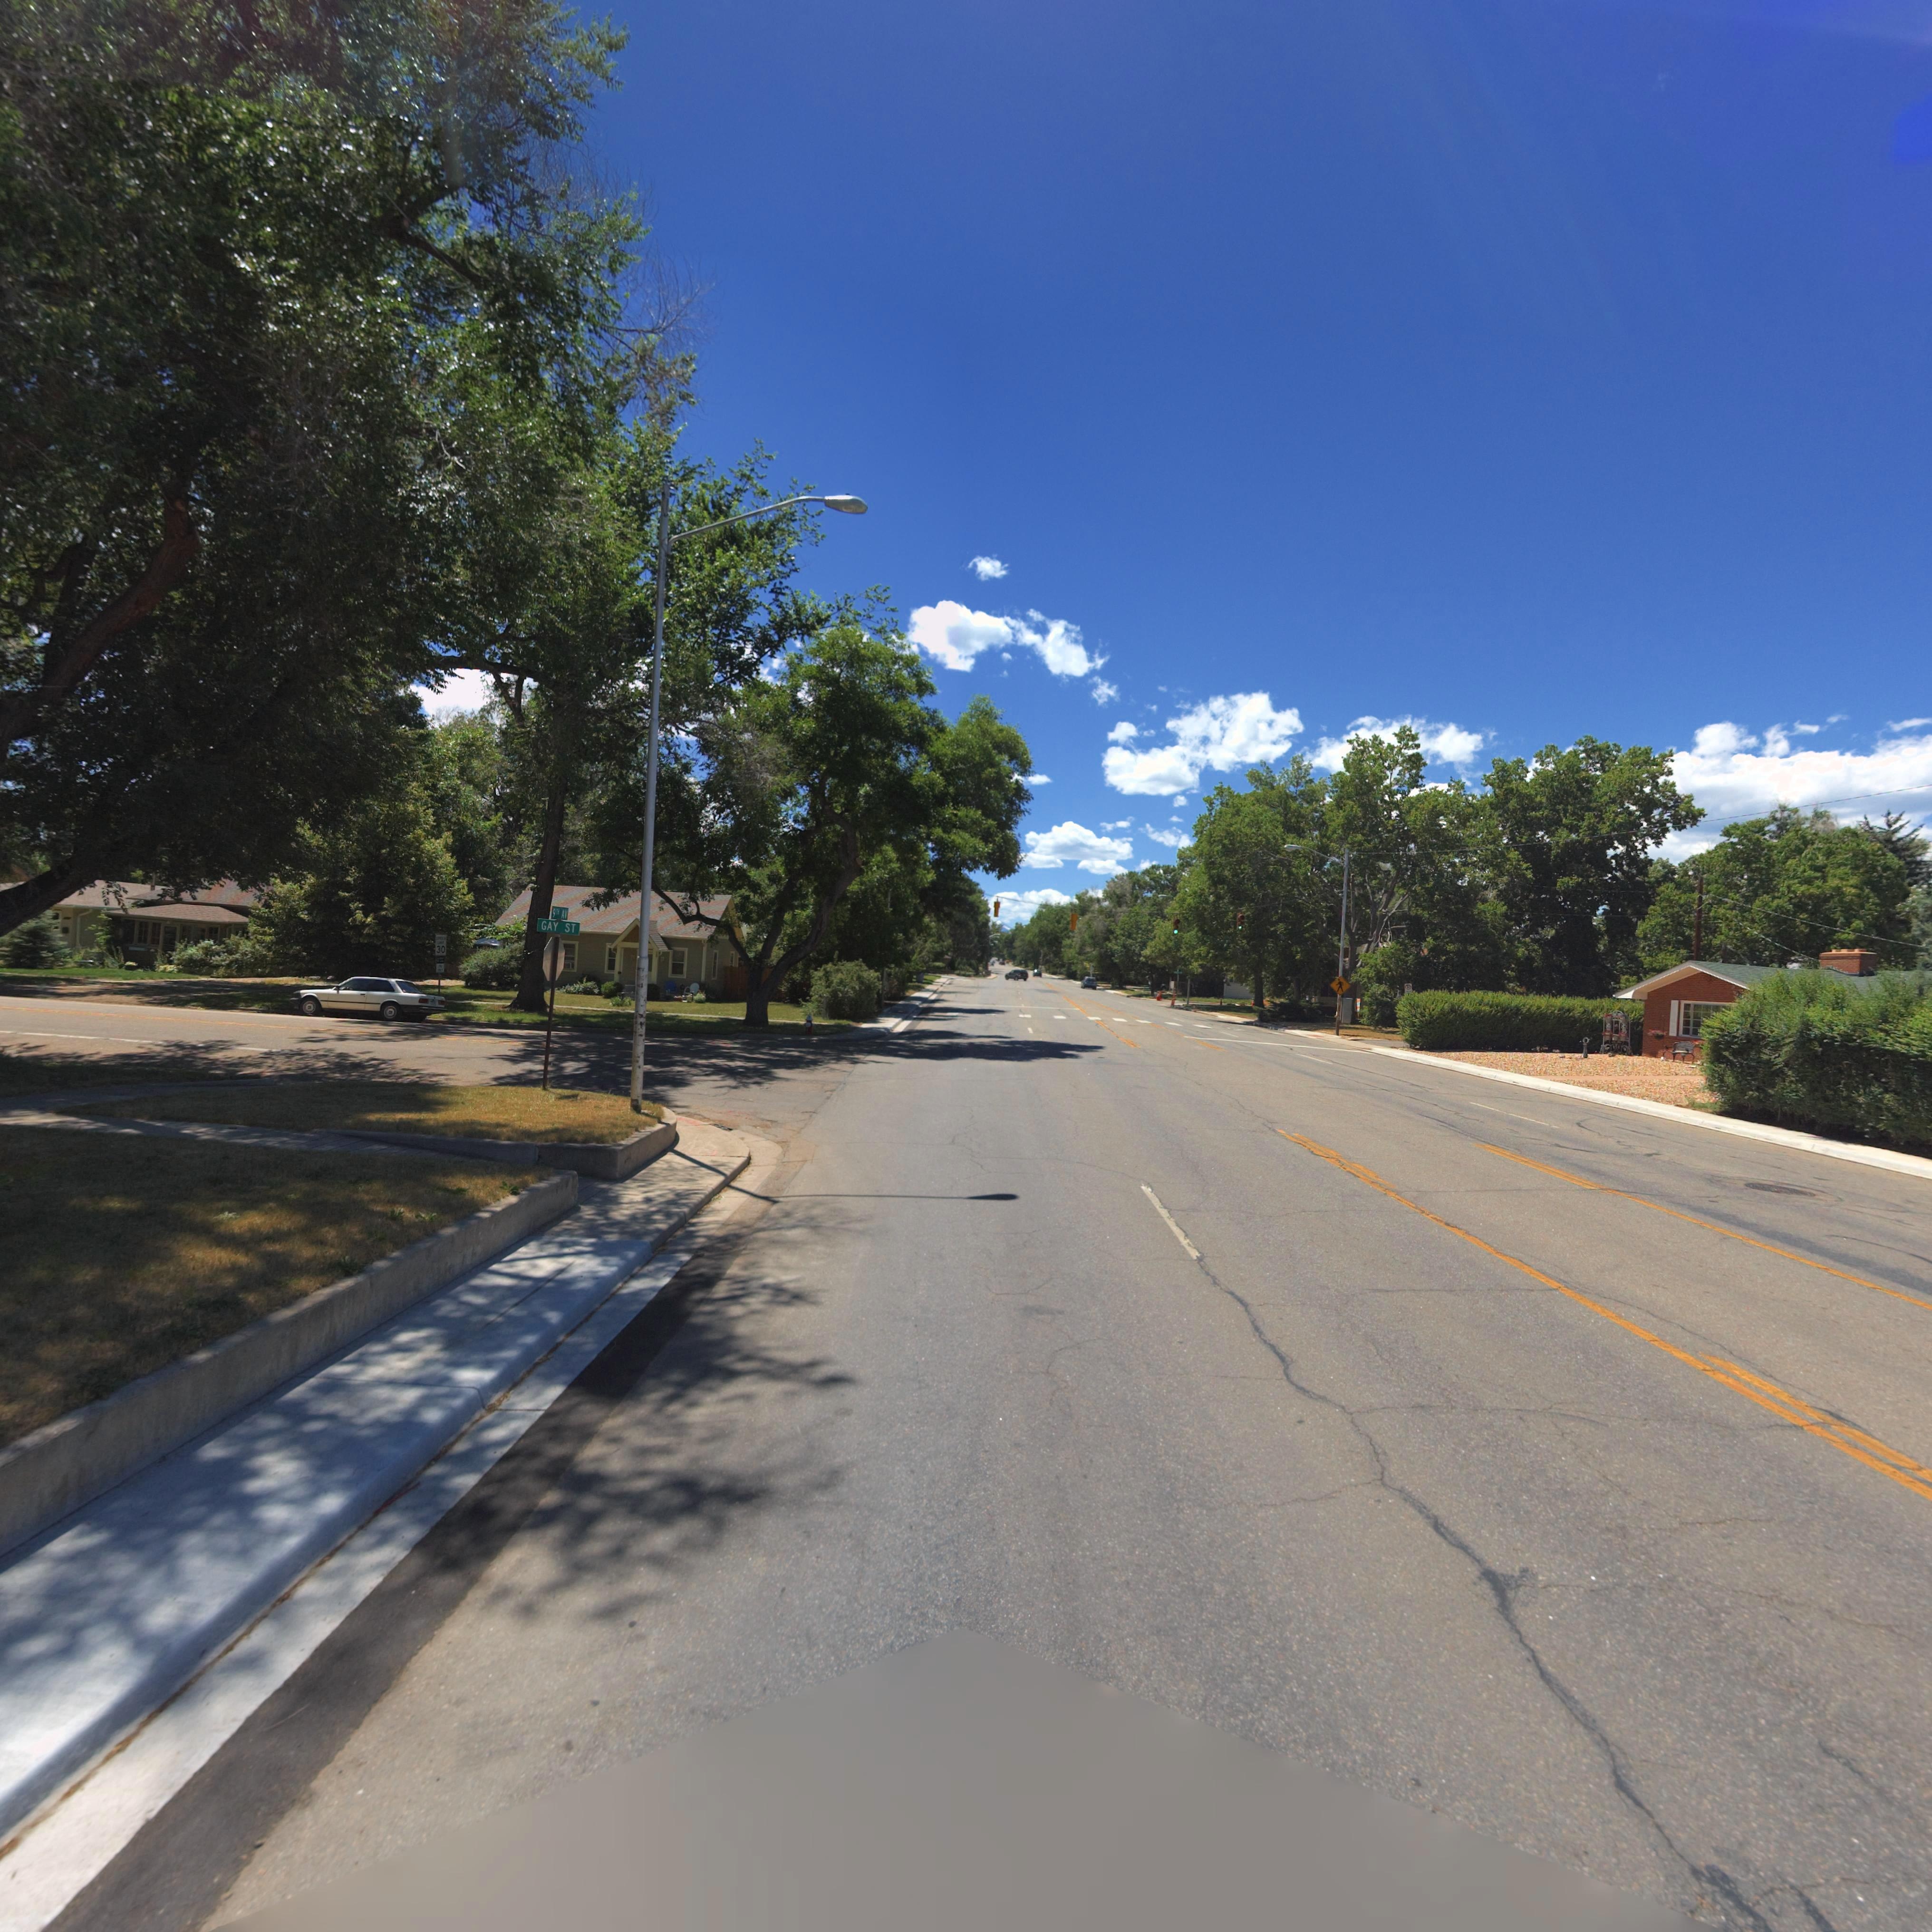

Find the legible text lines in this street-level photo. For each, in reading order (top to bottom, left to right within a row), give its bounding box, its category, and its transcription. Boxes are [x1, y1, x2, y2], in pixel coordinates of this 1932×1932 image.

[552, 908, 568, 919] StreetName: 9TH AV
[541, 920, 576, 933] StreetName: GAY ST